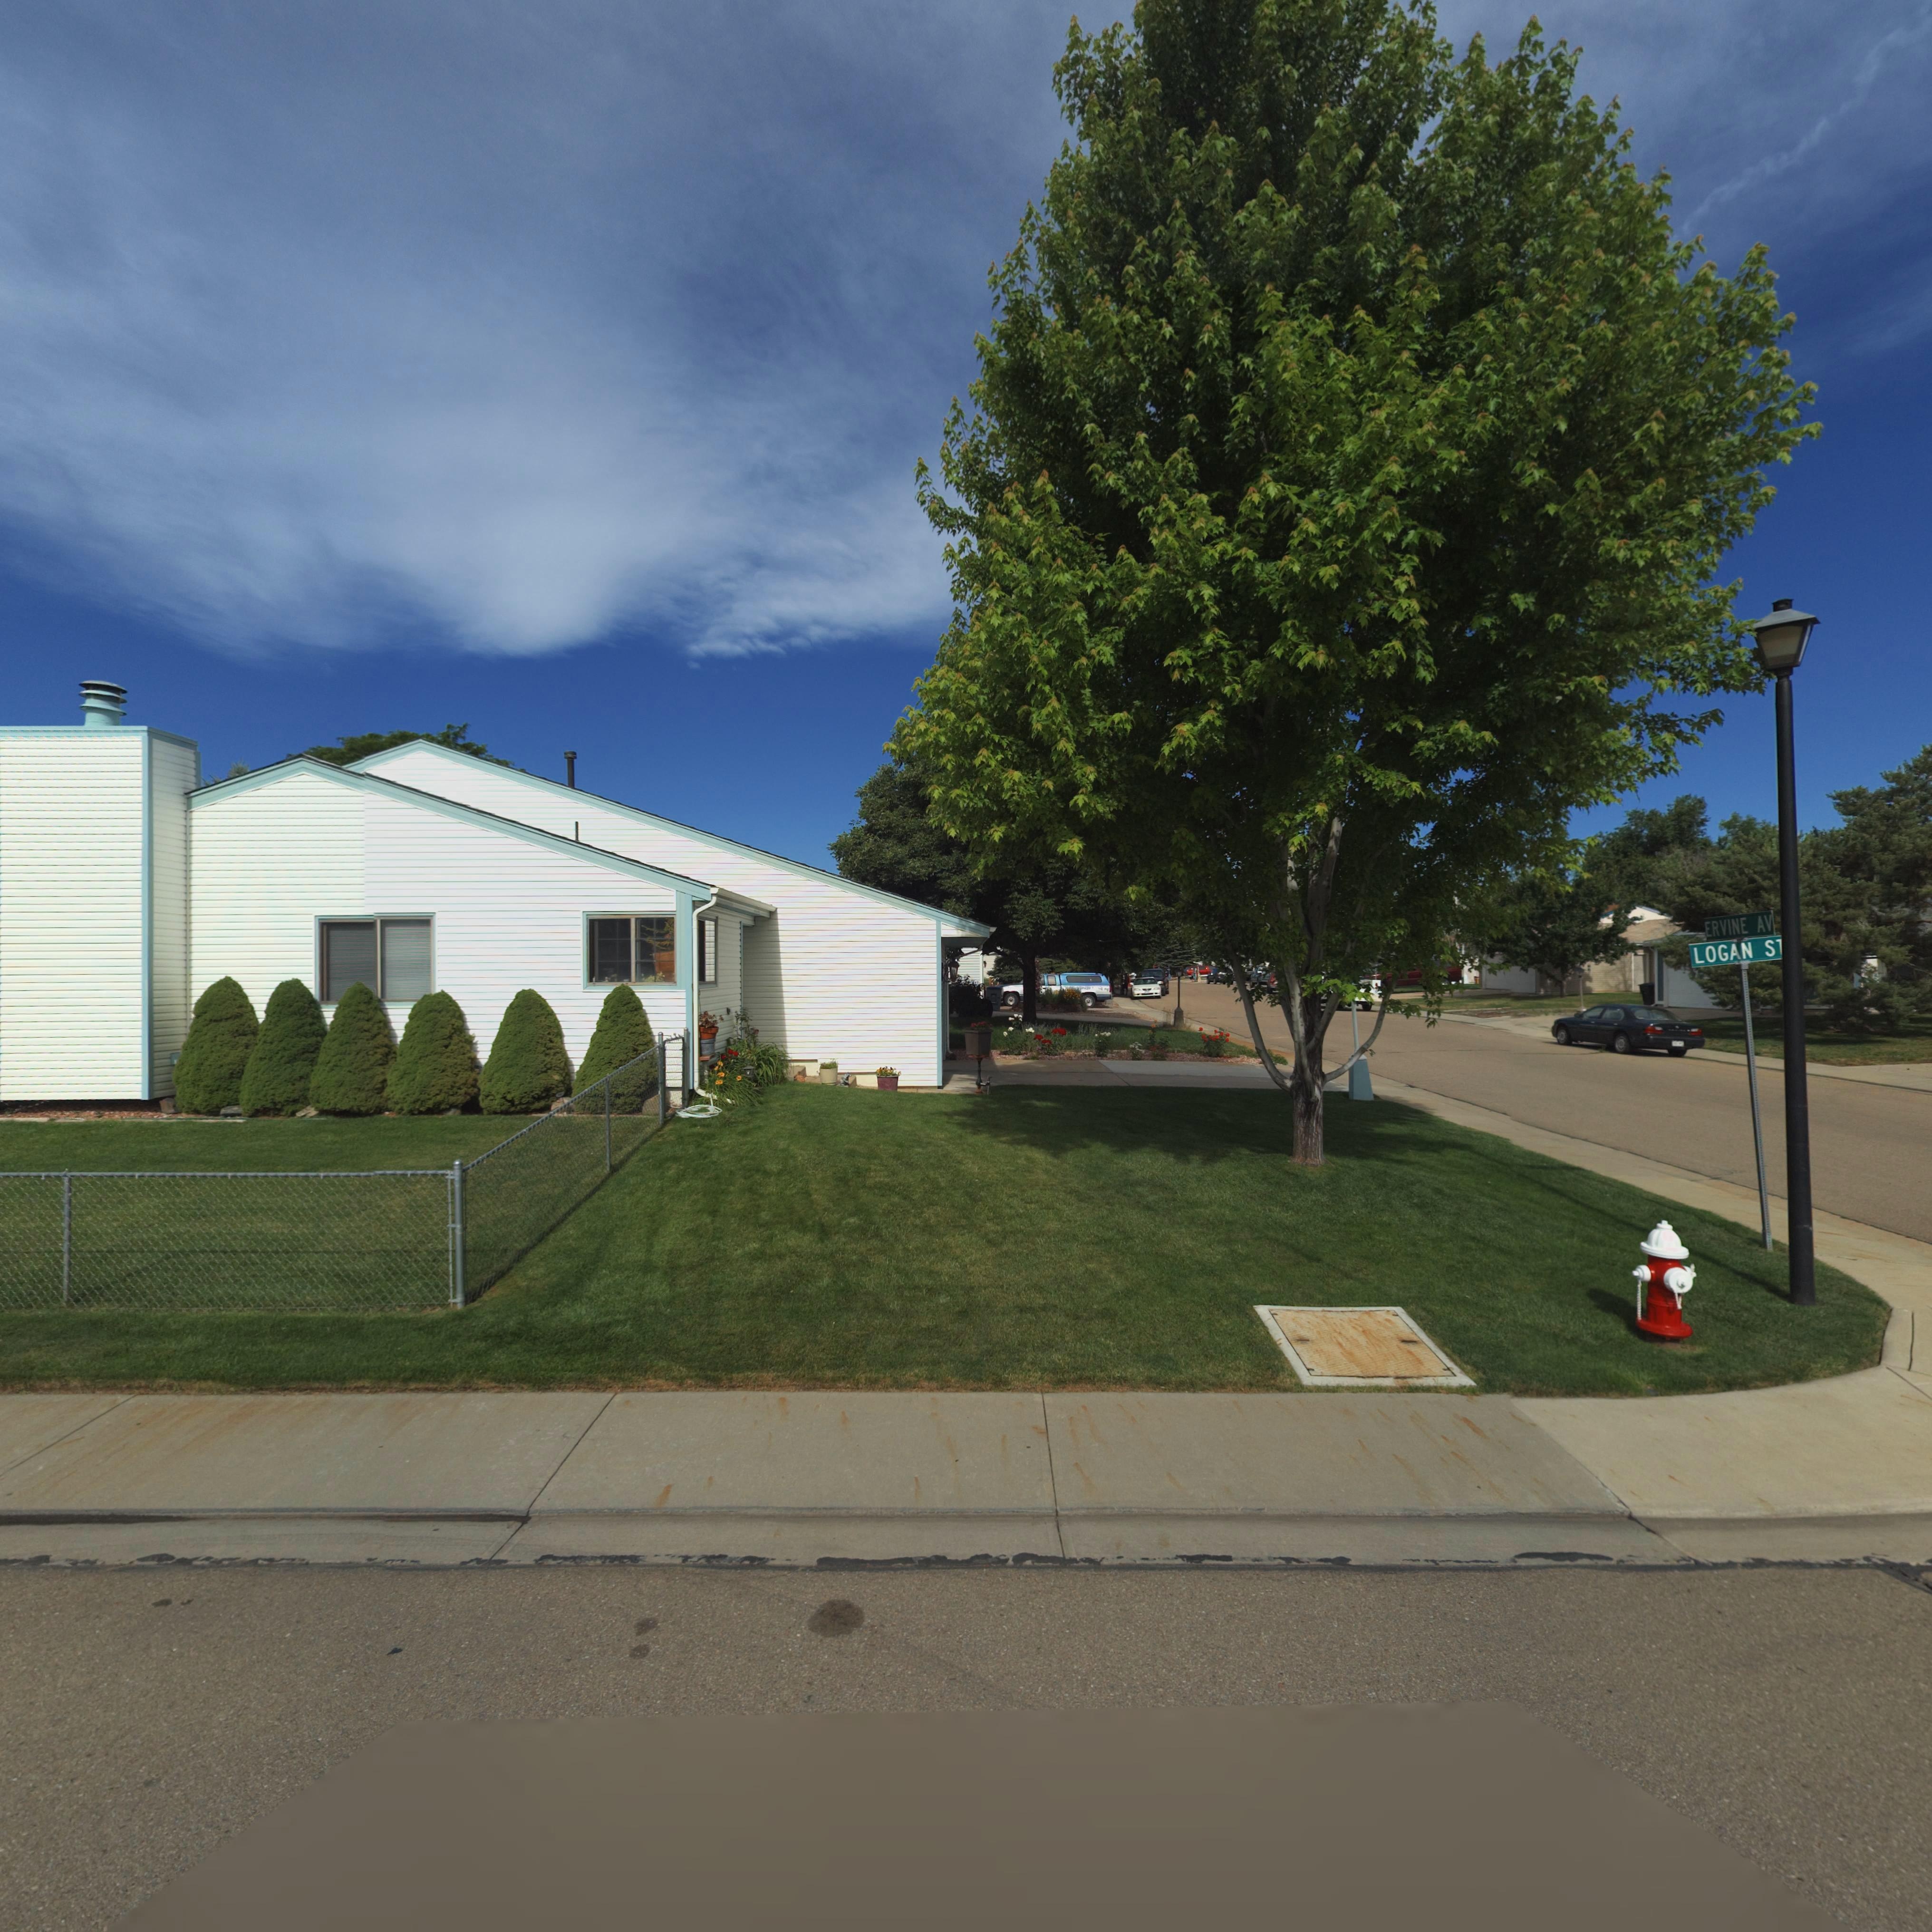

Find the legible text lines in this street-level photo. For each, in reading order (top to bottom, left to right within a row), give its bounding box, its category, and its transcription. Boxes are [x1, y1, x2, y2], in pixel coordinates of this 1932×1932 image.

[1703, 913, 1772, 937] StreetName: ERVINE AV
[1691, 938, 1783, 964] StreetName: LOGAN S*